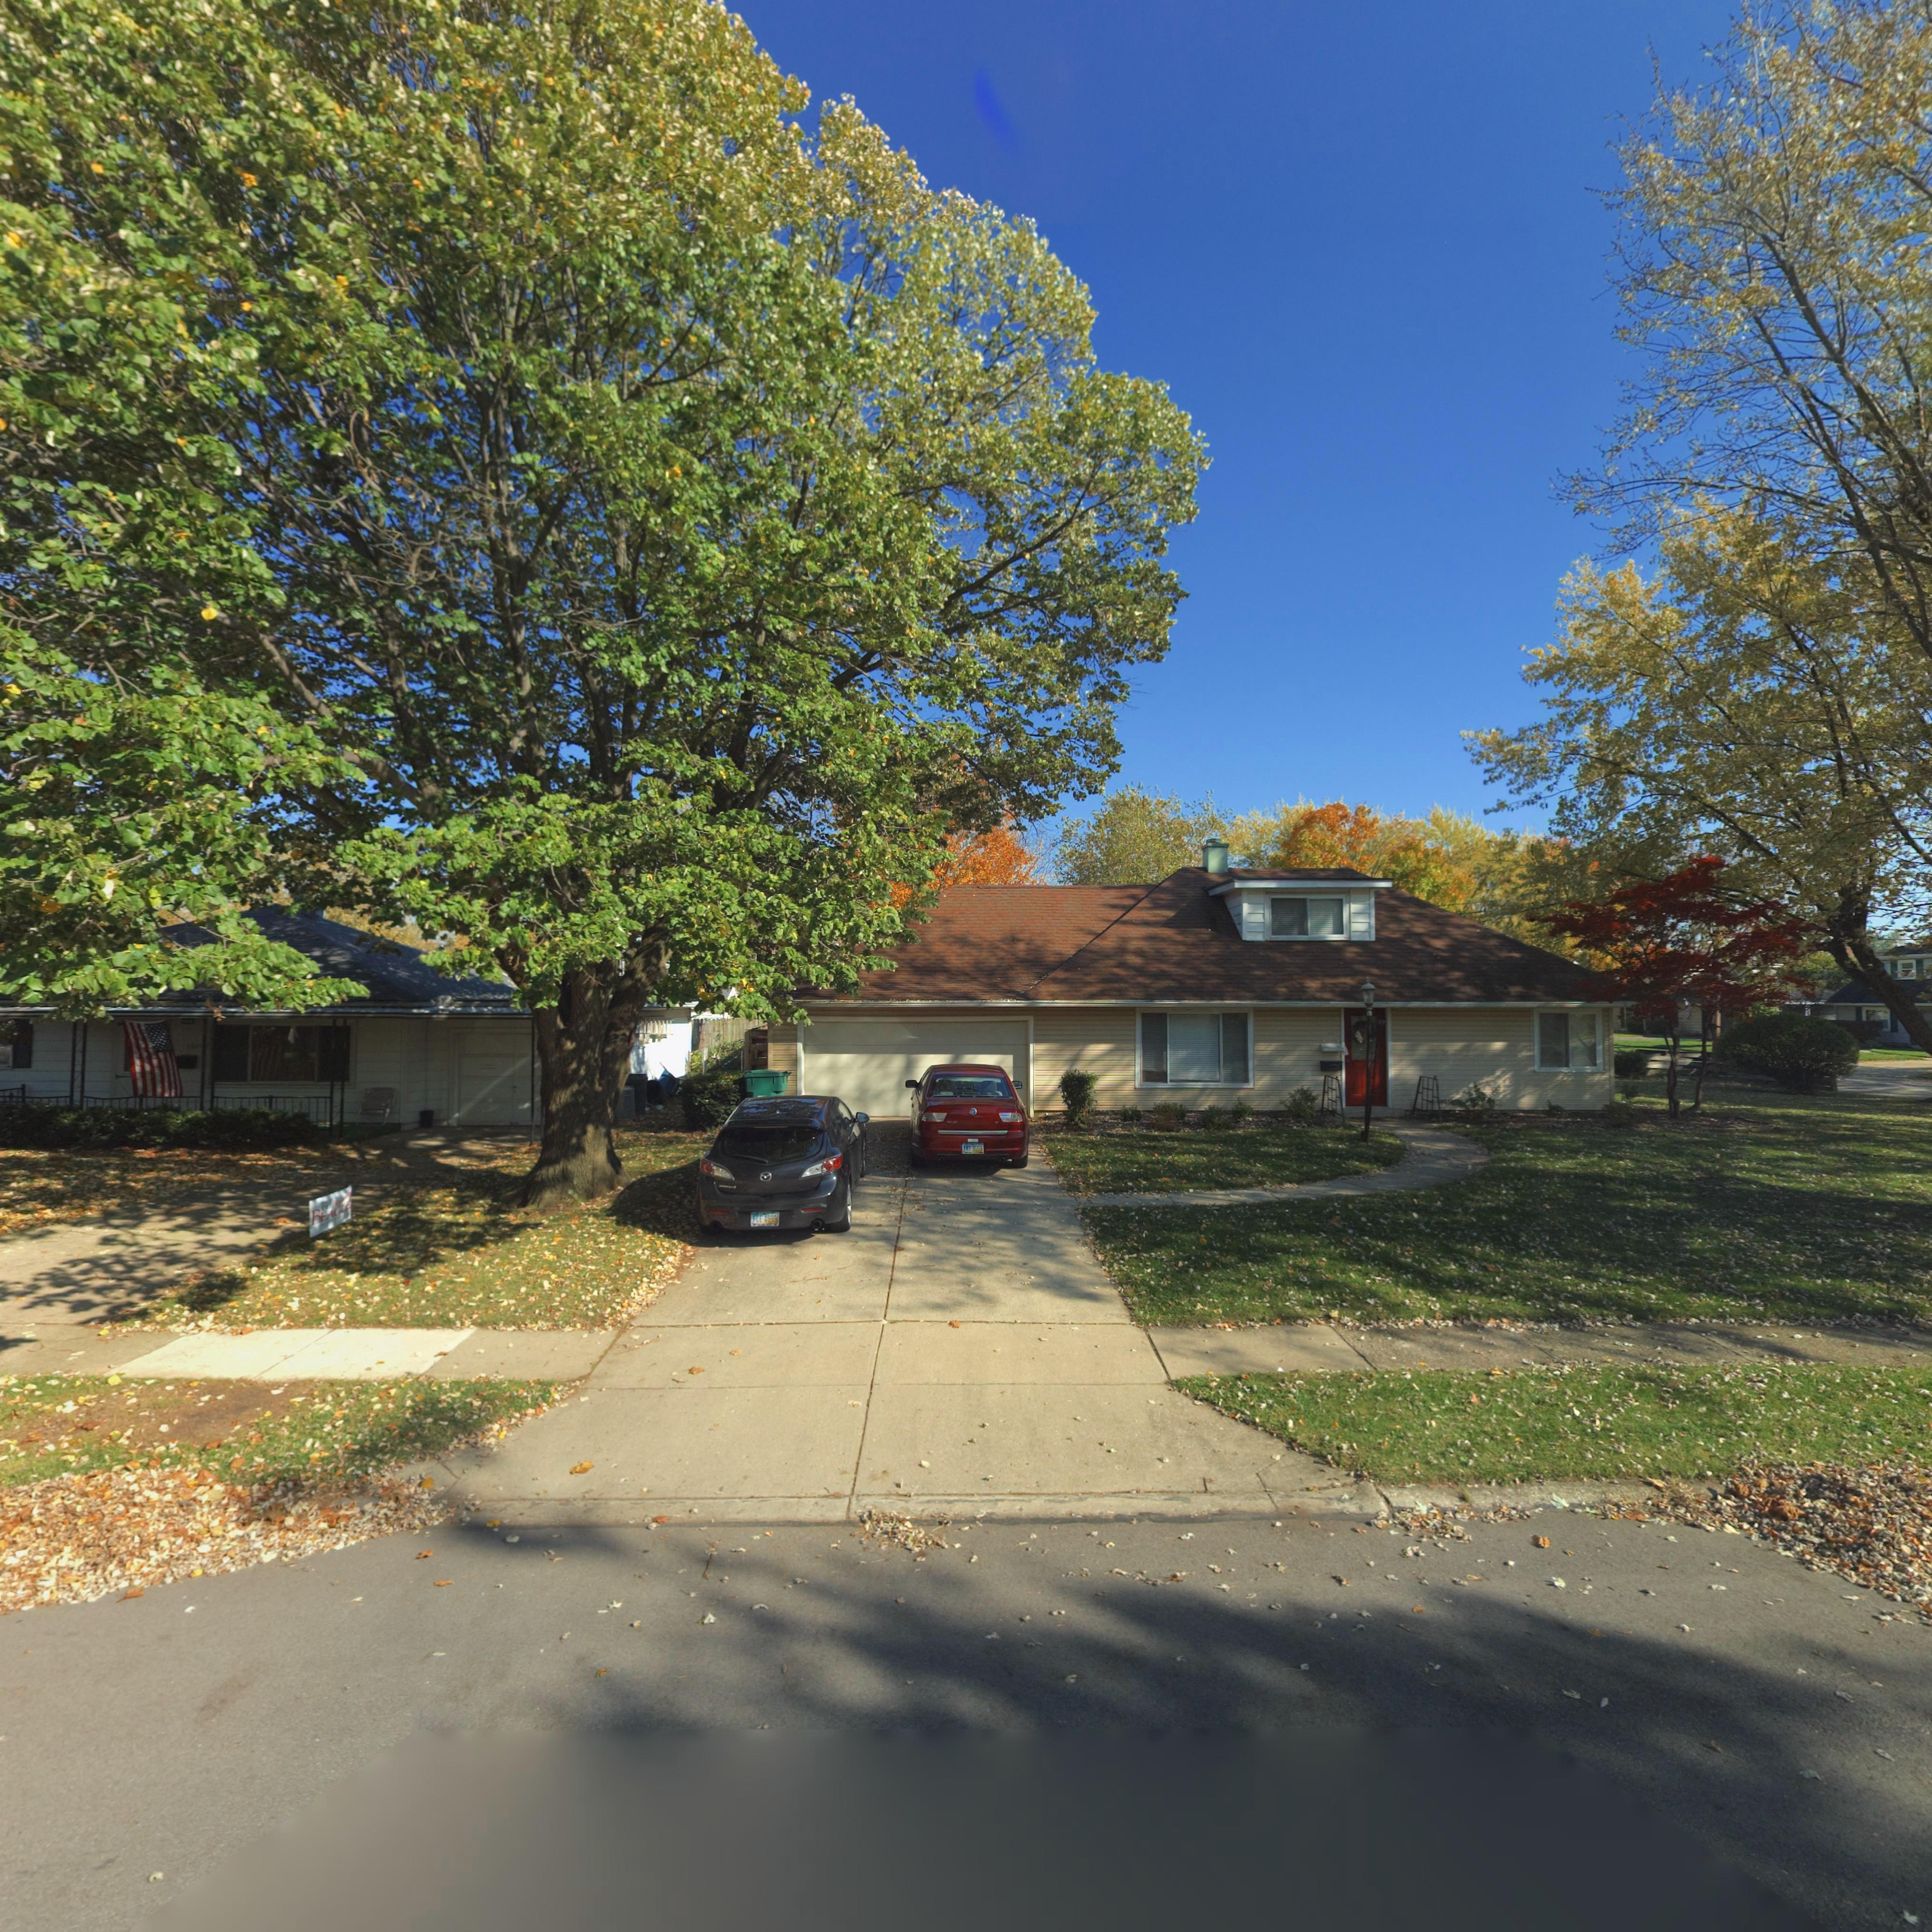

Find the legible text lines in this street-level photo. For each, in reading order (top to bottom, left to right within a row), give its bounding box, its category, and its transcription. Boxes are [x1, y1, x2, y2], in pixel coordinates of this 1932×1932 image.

[310, 1206, 337, 1227] None: BEA
[752, 1214, 777, 1224] None: FCE 4889